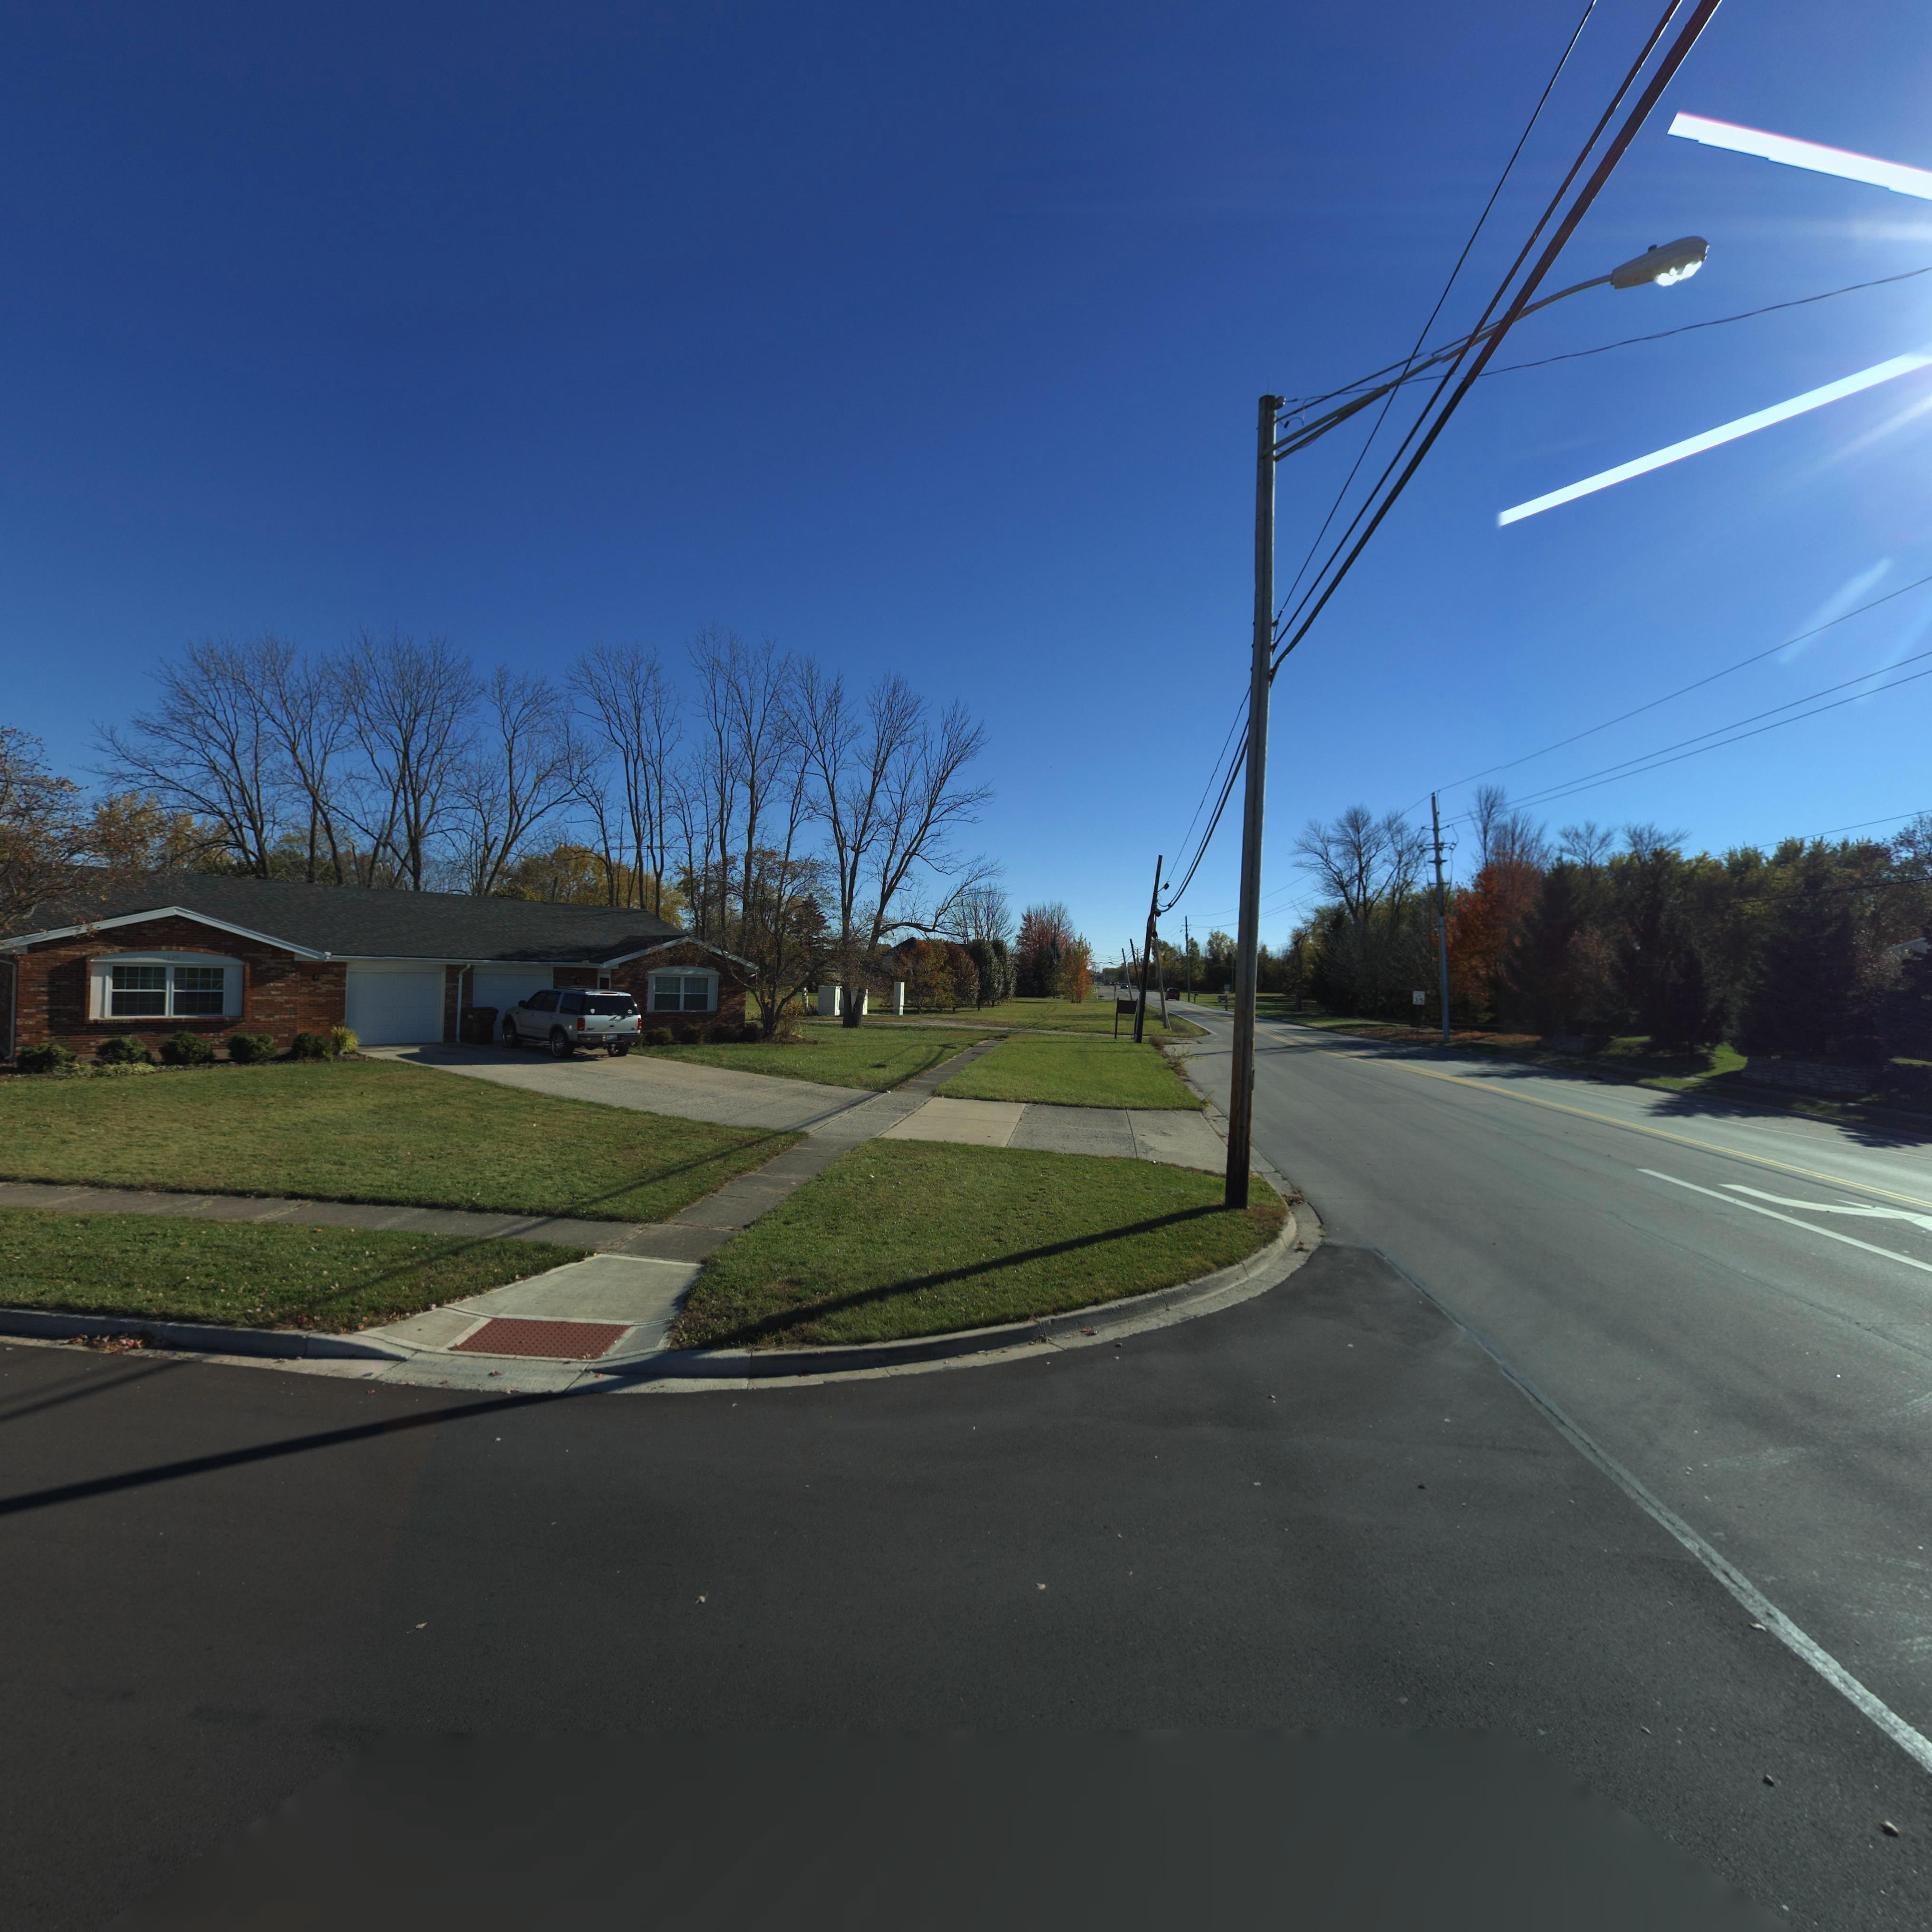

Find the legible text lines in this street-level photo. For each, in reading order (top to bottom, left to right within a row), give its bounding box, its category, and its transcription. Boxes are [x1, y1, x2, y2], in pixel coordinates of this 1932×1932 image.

[162, 955, 181, 961] StreetNumber: 12*0
[676, 967, 690, 973] StreetNumber: 1*52